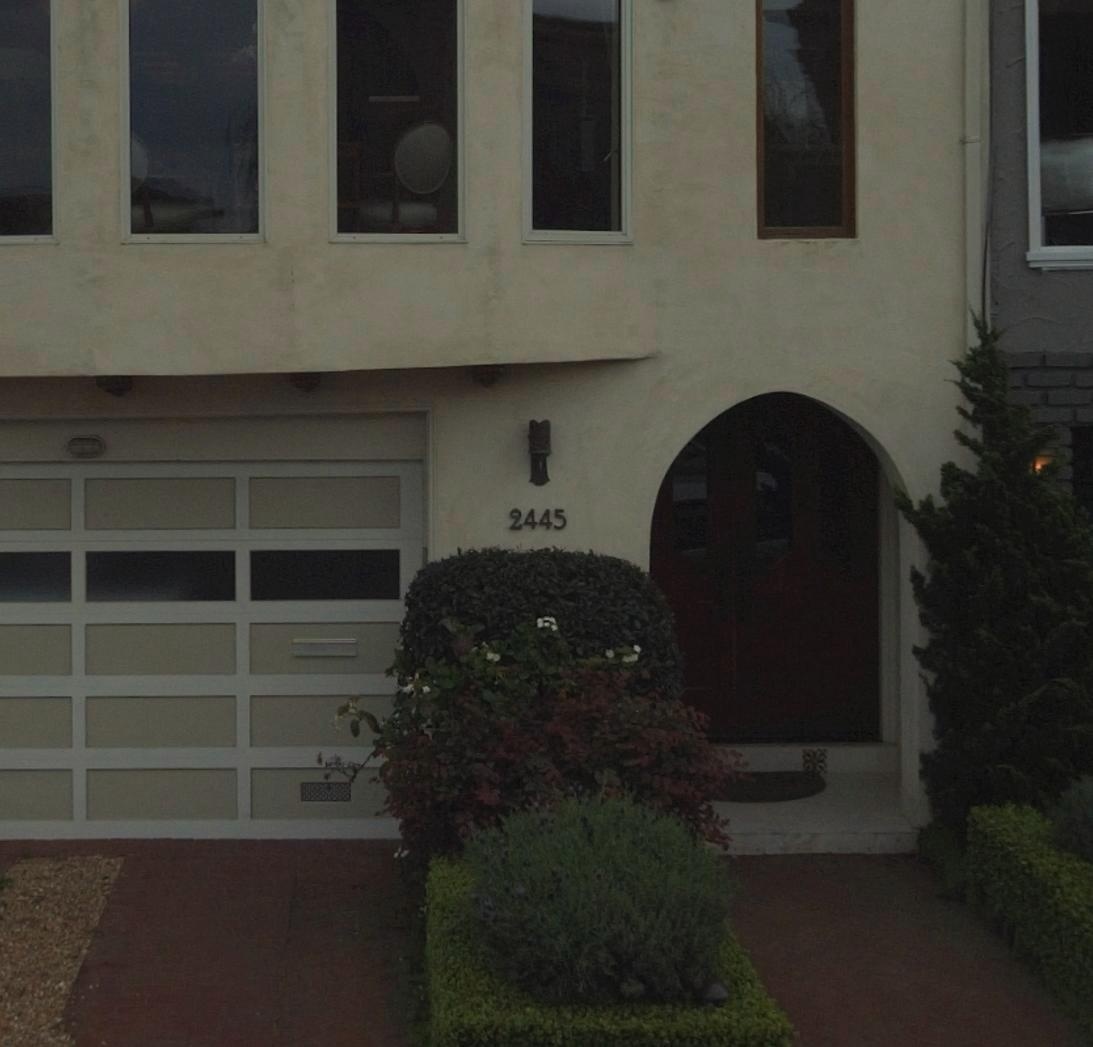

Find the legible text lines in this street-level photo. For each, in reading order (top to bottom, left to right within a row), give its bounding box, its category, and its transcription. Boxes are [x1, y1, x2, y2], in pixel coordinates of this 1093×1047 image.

[504, 503, 569, 535] StreetNumber: 2445